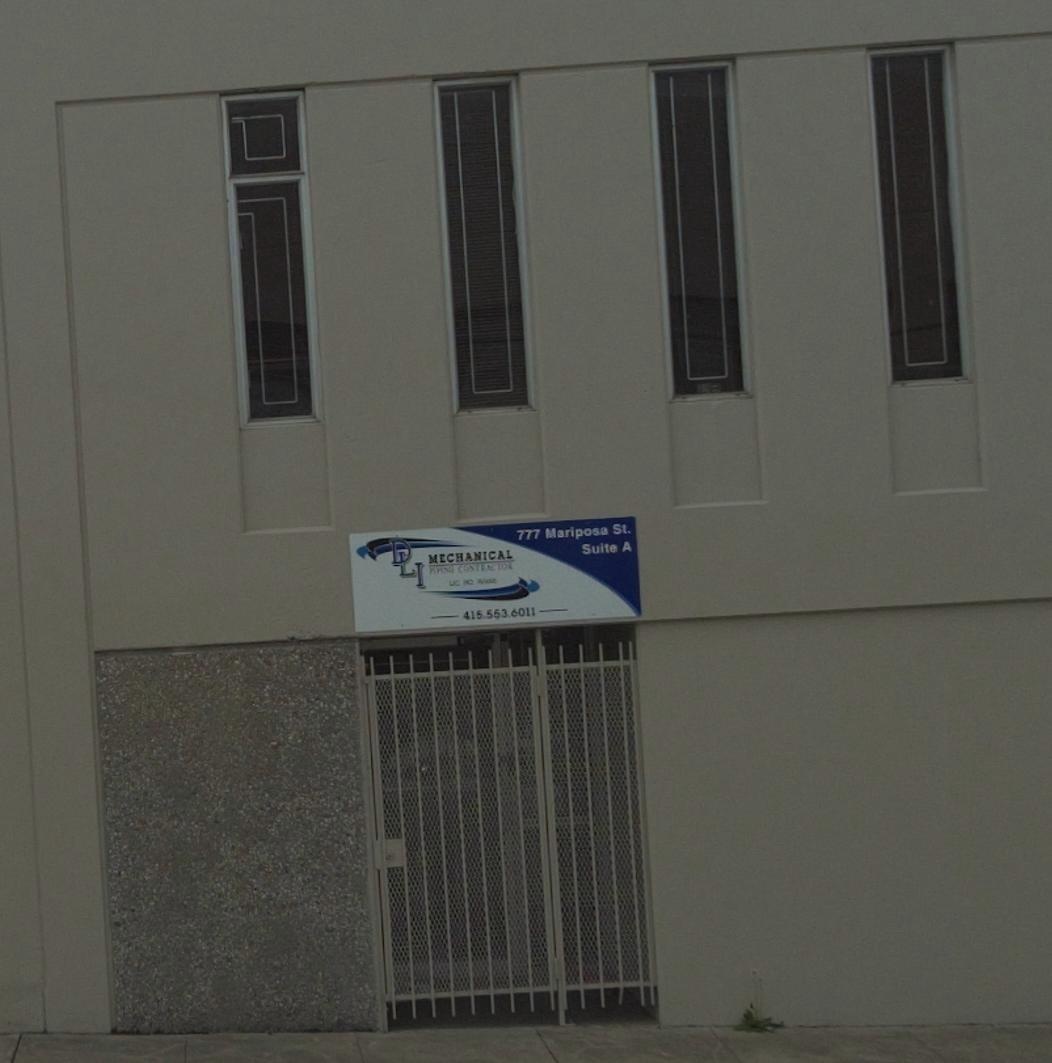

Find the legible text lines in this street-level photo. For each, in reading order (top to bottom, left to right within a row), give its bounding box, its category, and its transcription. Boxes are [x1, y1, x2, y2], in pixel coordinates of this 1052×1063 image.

[515, 528, 541, 541] StreetNumber: 777
[544, 522, 632, 541] StreetName: Mariposa St.
[580, 540, 634, 556] SecondaryUnitDesignator: Suite A
[387, 540, 425, 587] None: DLI
[427, 549, 513, 565] None: MECHANICAL
[457, 561, 514, 575] None: CONSTRUCTION
[448, 580, 461, 587] None: LIC
[462, 606, 536, 621] None: 415.553.6011